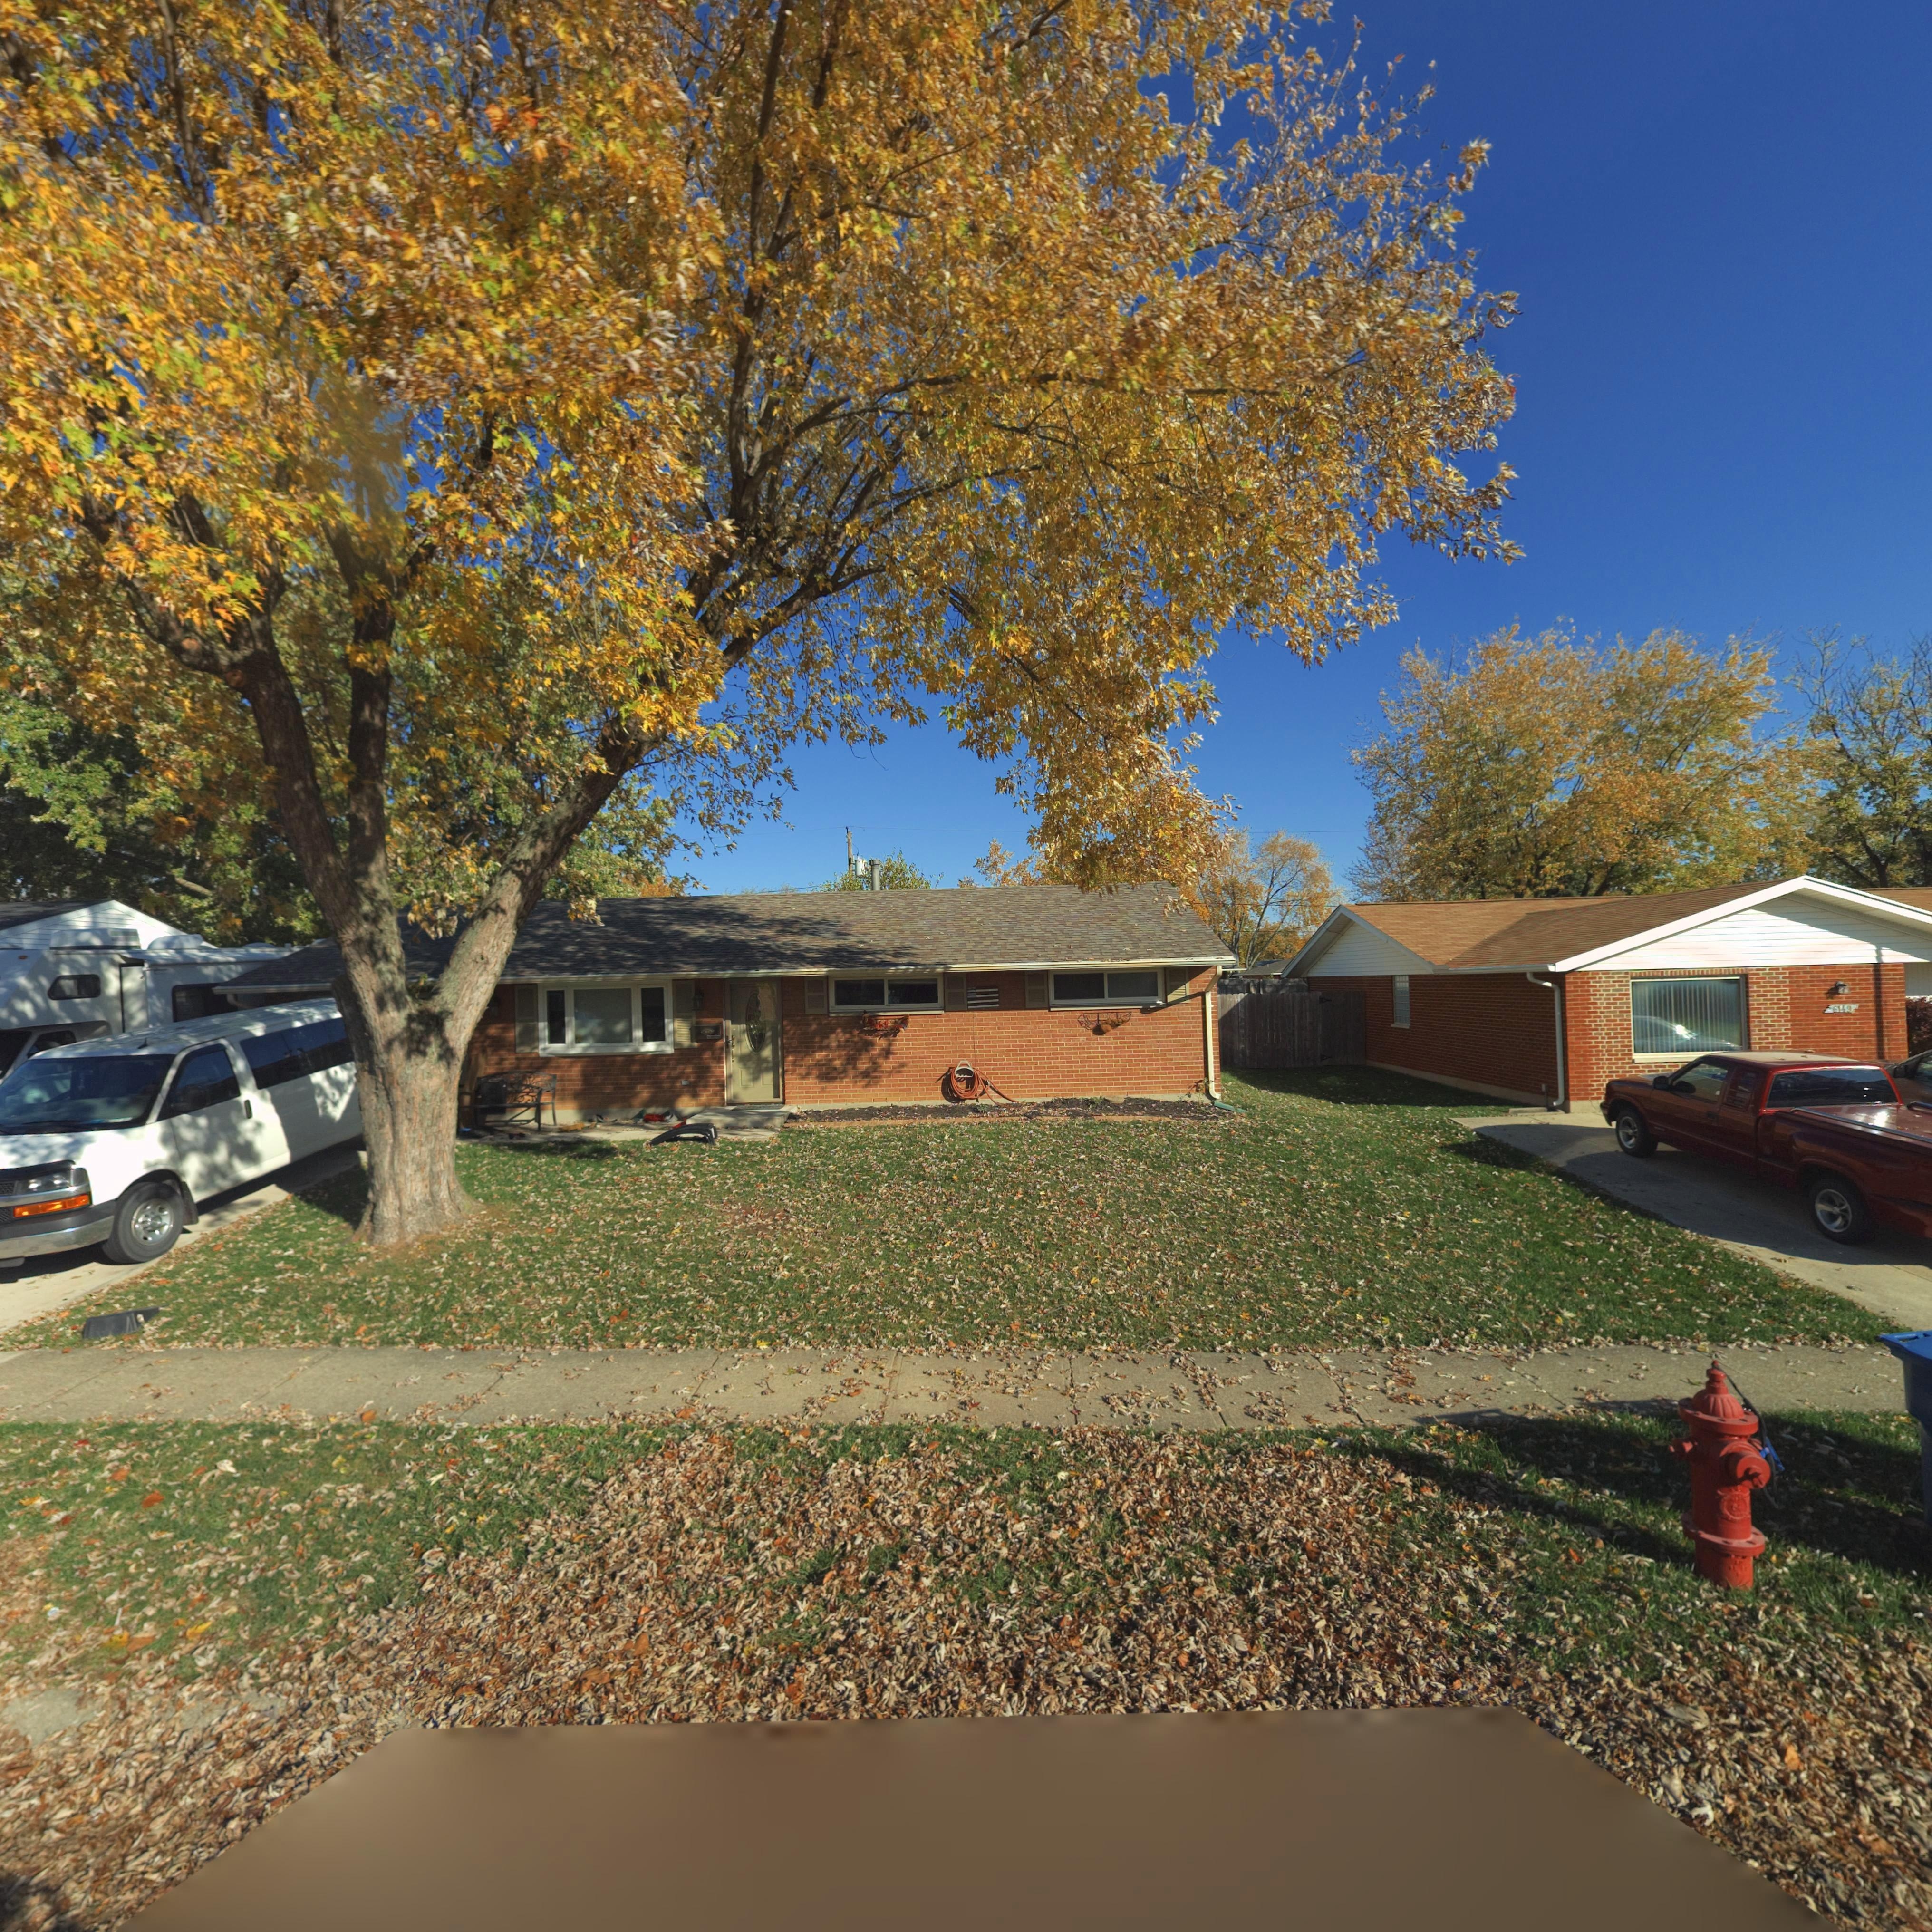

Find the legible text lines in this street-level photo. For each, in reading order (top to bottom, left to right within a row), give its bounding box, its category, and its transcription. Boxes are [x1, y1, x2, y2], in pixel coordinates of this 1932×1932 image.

[1832, 1005, 1852, 1013] StreetNumber: 6149